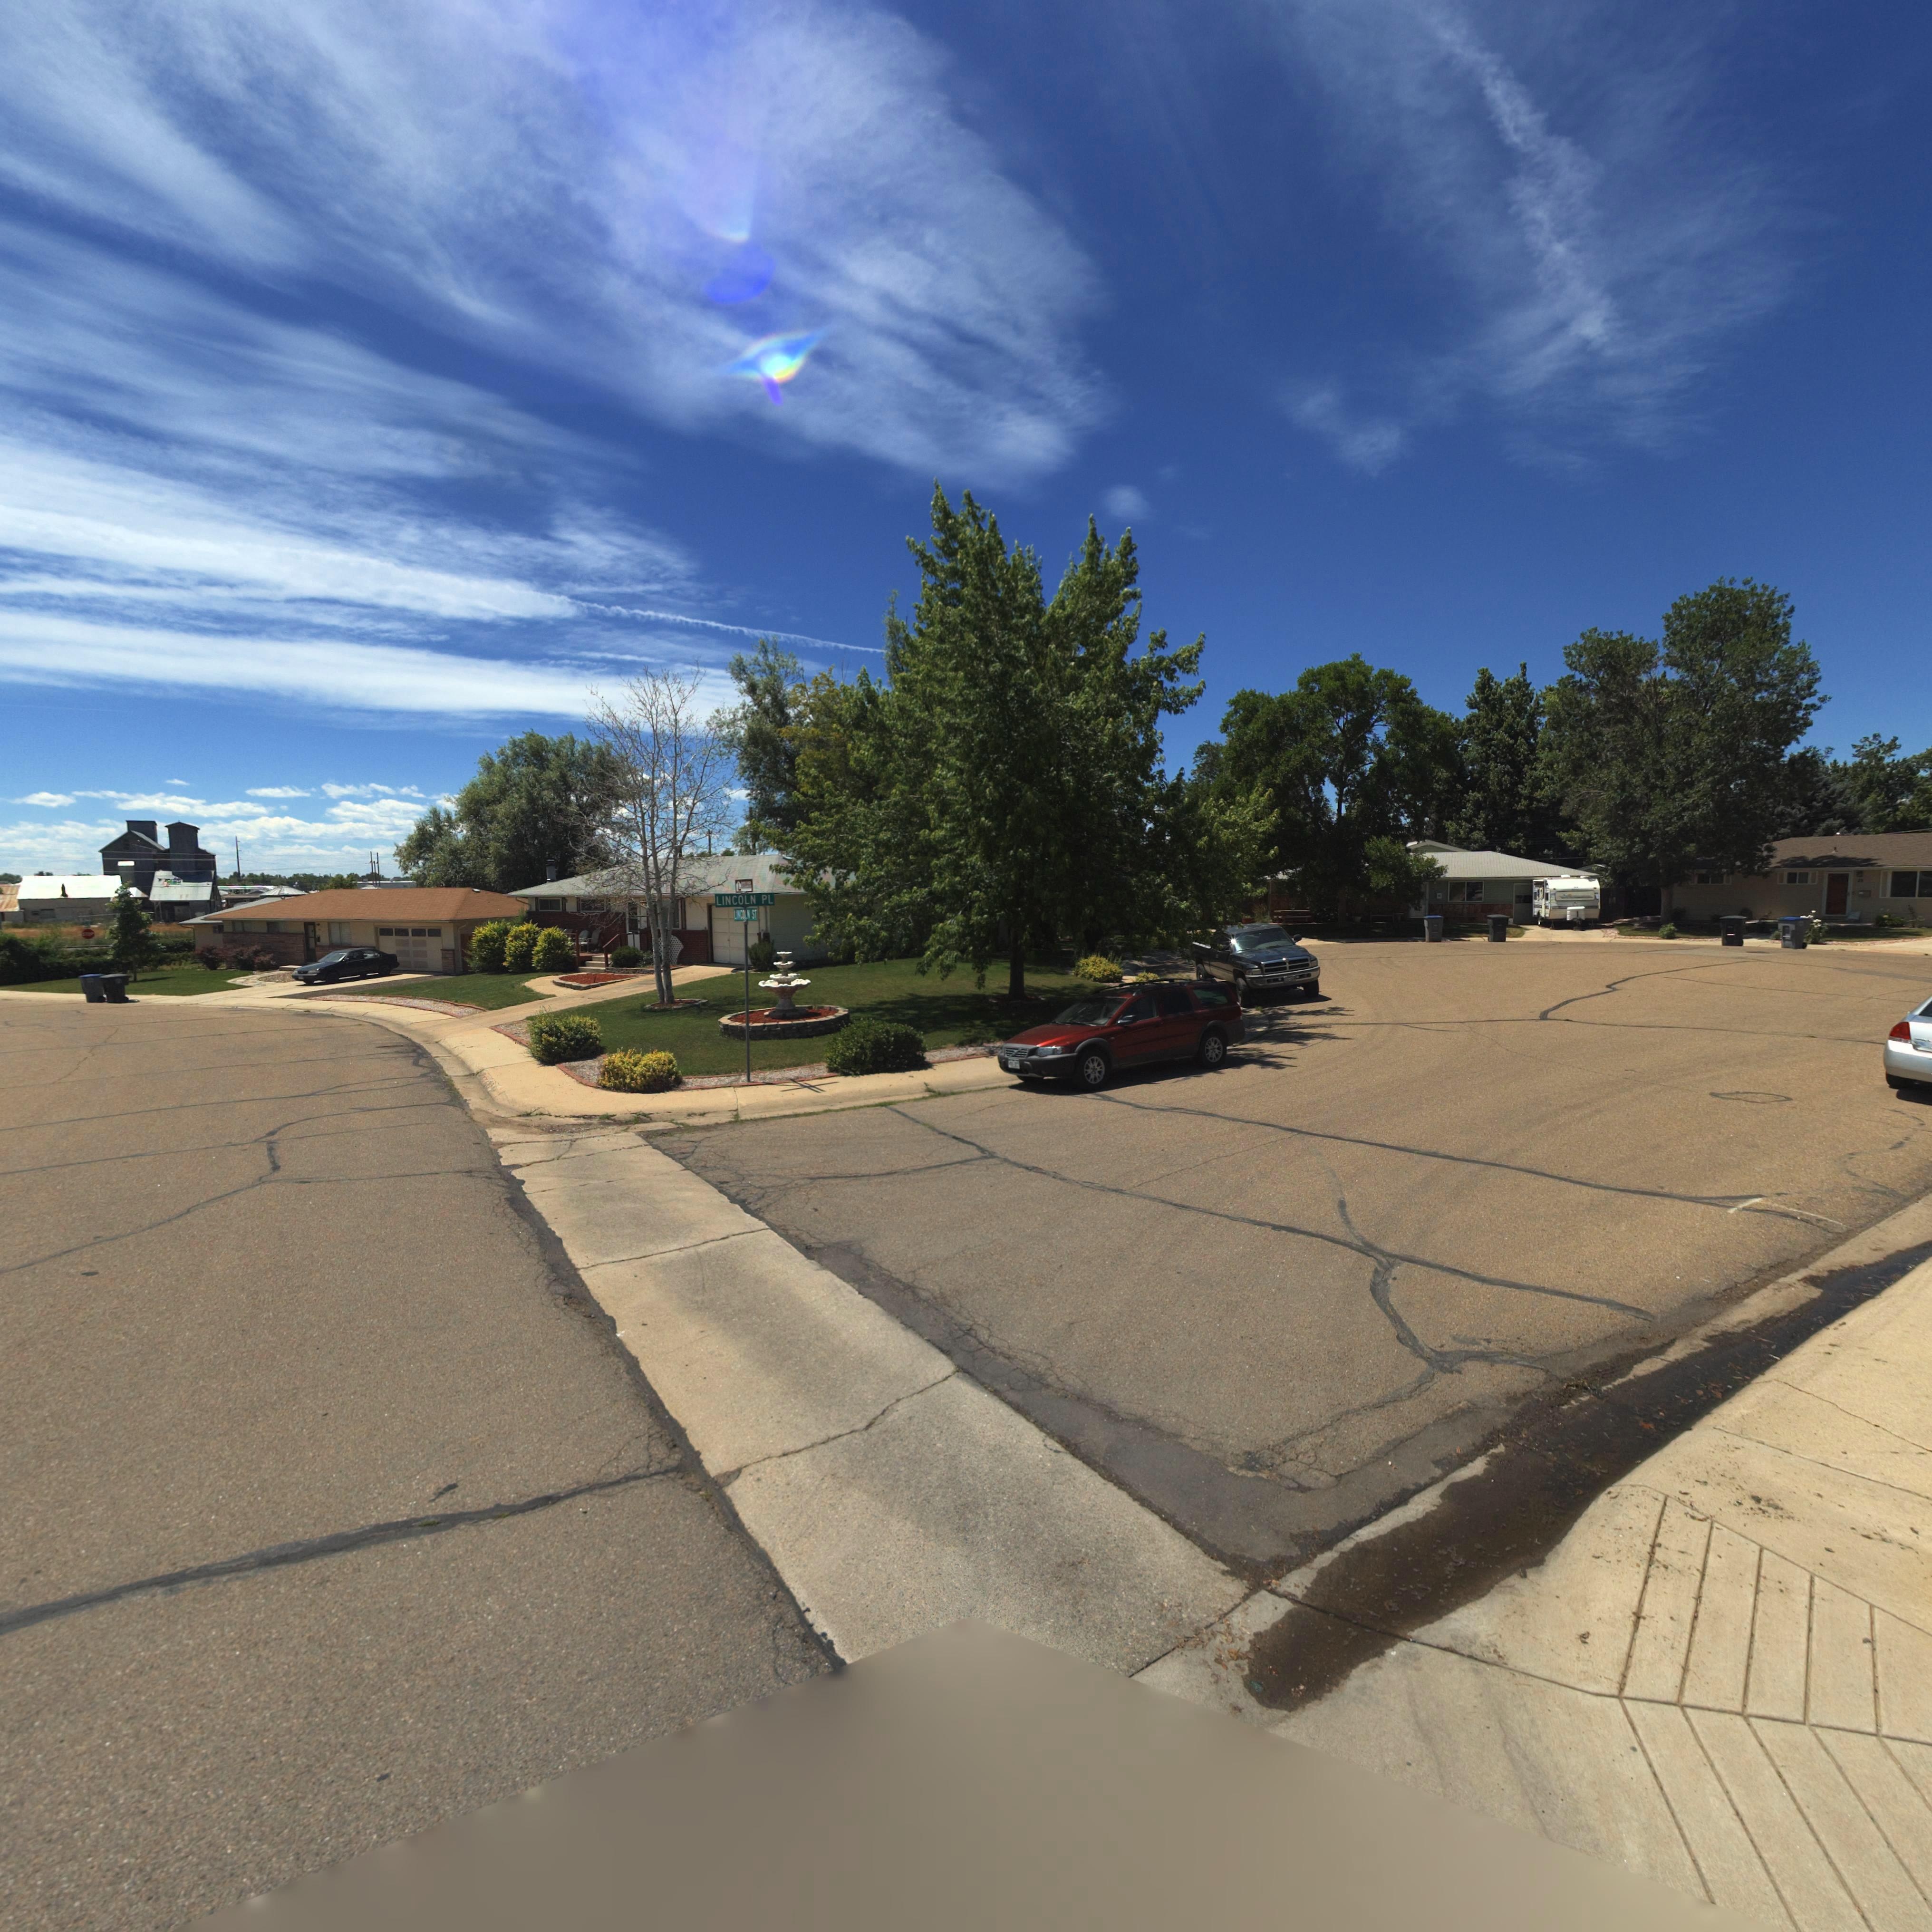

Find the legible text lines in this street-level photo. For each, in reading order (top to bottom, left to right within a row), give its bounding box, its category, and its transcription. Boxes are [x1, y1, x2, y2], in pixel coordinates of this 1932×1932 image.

[716, 894, 773, 906] StreetName: LINCOLN PL
[734, 909, 757, 919] StreetName: LINCOLN ST